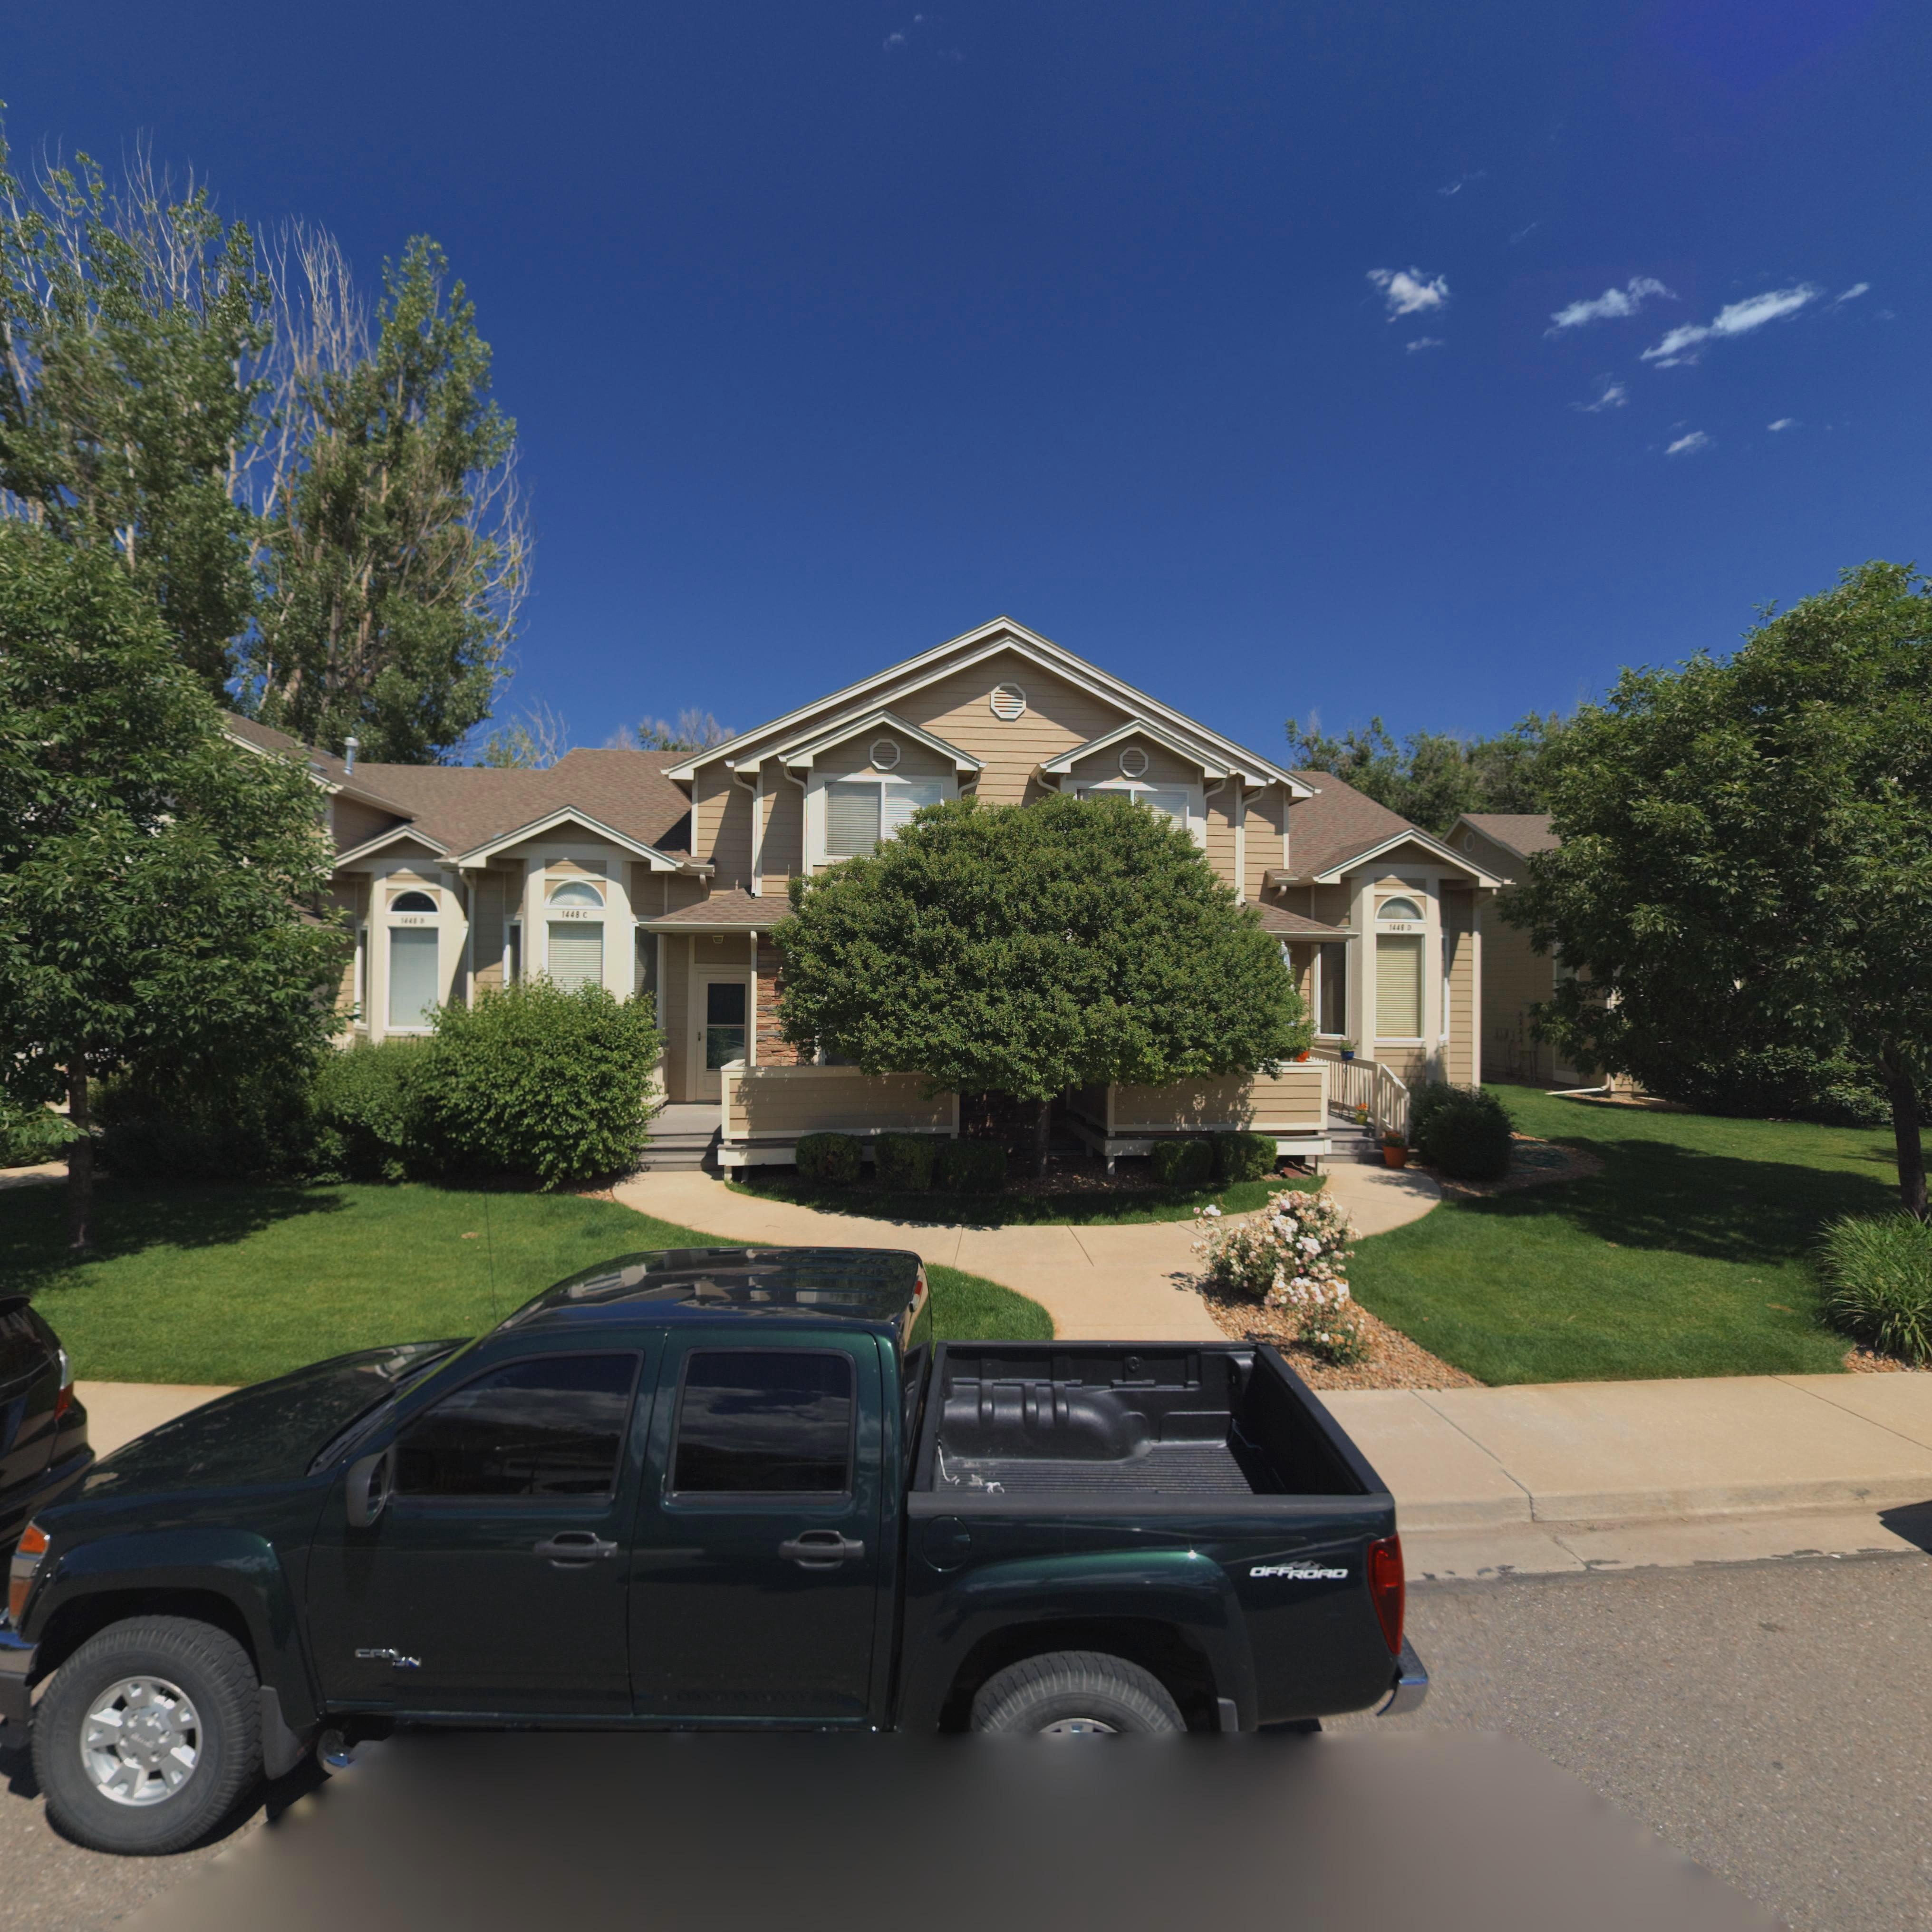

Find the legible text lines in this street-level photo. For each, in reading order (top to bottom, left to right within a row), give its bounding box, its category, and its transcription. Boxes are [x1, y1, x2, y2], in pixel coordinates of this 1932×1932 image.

[561, 910, 580, 918] StreetNumber: 1448
[582, 911, 588, 918] SecondaryUnitDesignator: C
[400, 917, 417, 925] StreetNumber: 1448
[419, 917, 425, 924] SecondaryUnitDesignator: B
[1389, 923, 1404, 931] StreetNumber: 1448
[1407, 924, 1411, 931] SecondaryUnitDesignator: D